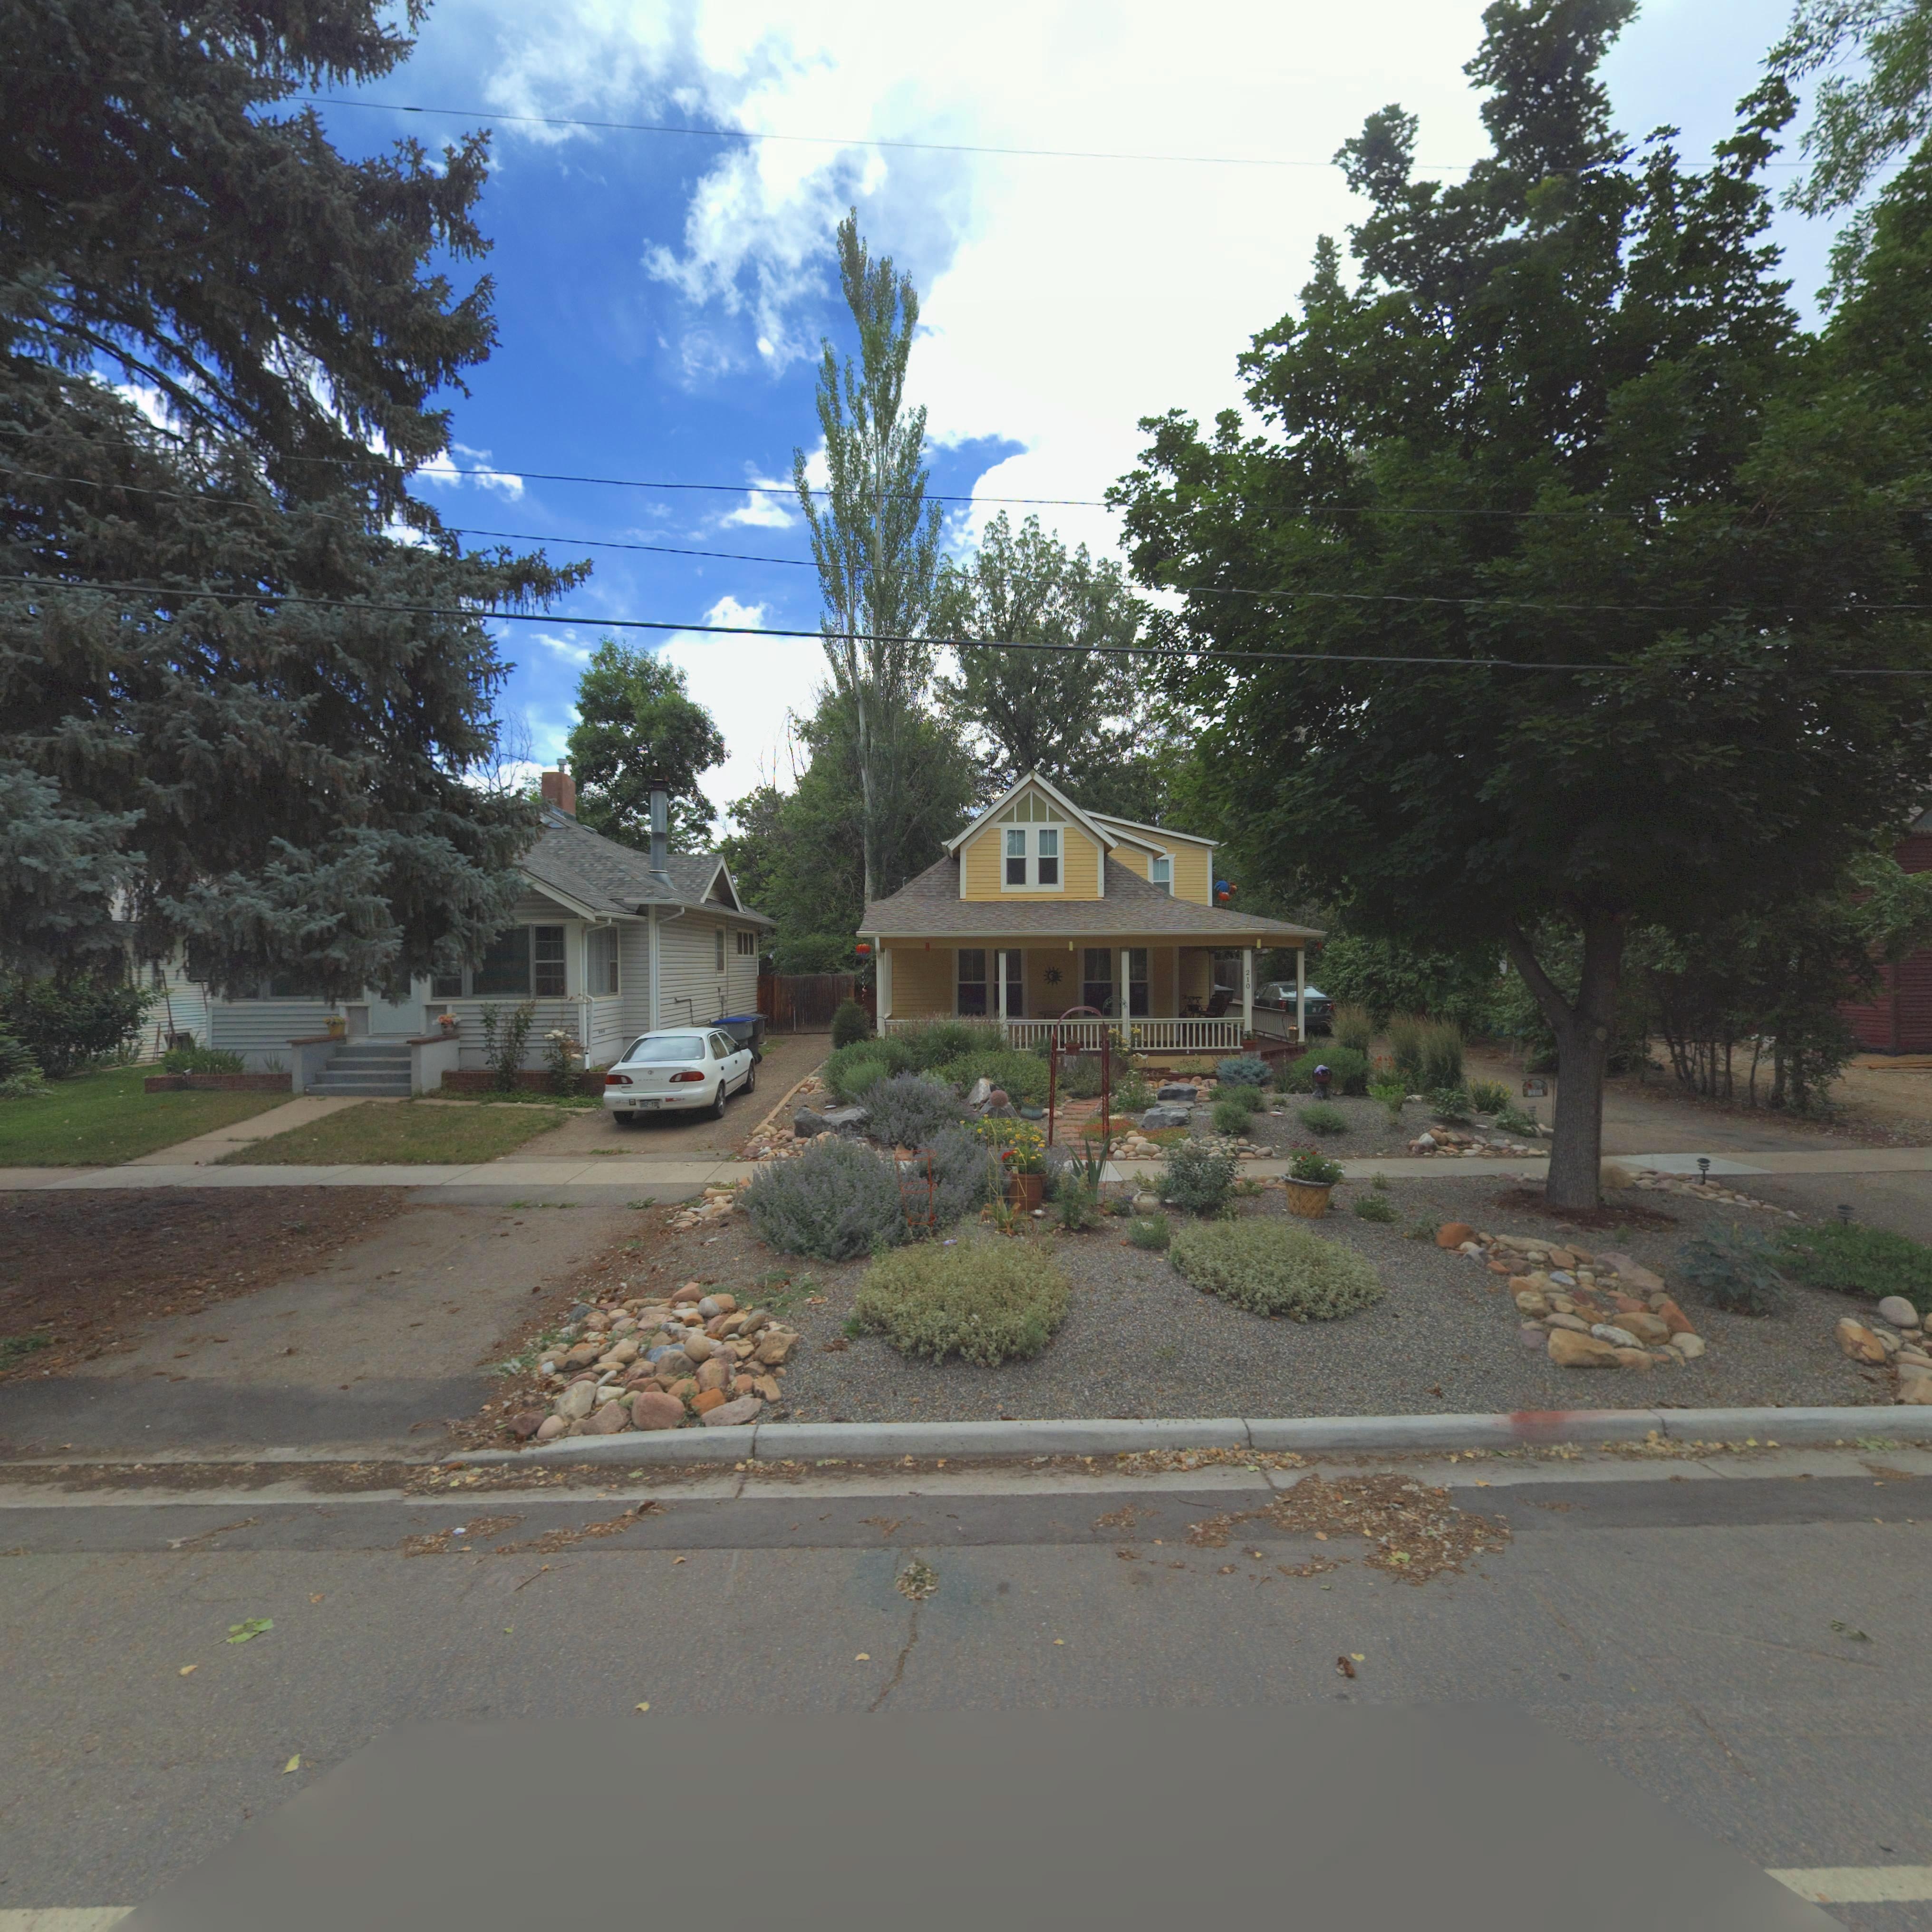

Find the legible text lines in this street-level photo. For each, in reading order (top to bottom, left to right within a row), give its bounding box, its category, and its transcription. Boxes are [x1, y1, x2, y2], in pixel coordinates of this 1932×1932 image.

[1245, 969, 1250, 989] StreetNumber: 210
[1529, 1089, 1541, 1096] StreetNumber: 210